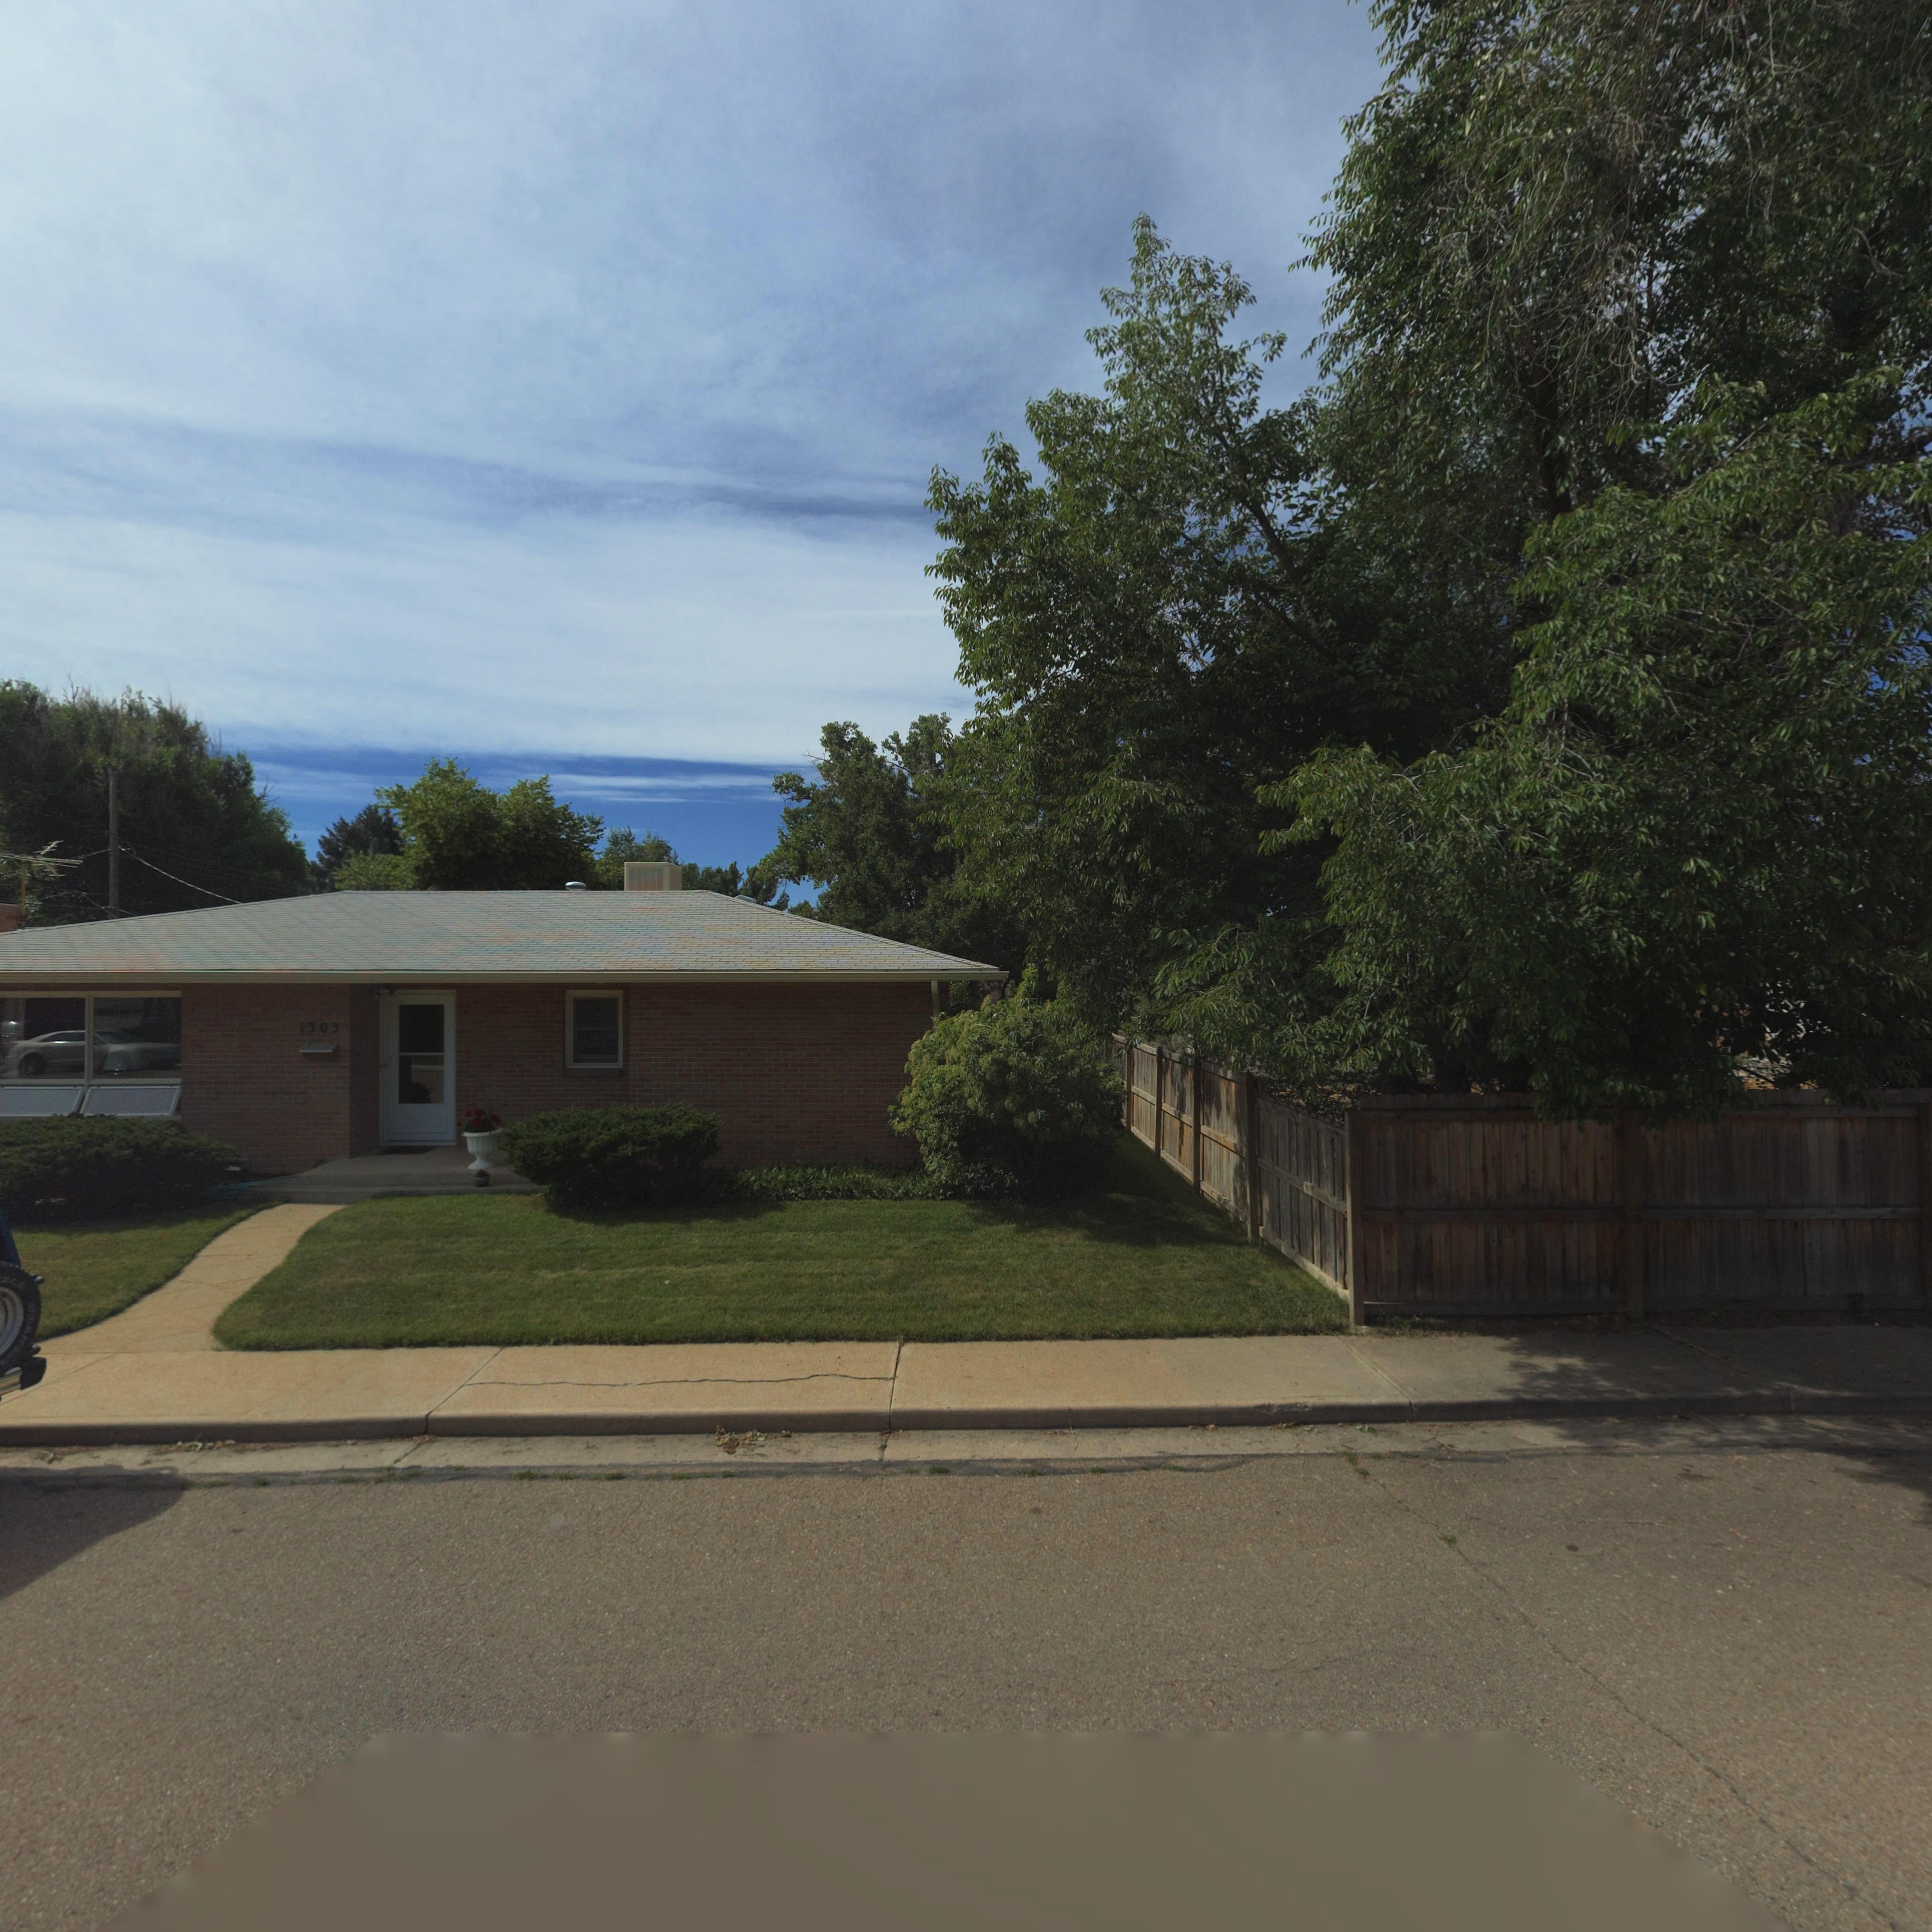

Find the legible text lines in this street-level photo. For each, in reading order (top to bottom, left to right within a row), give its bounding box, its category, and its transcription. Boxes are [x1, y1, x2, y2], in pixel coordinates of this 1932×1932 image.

[299, 1020, 340, 1034] StreetNumber: 1303